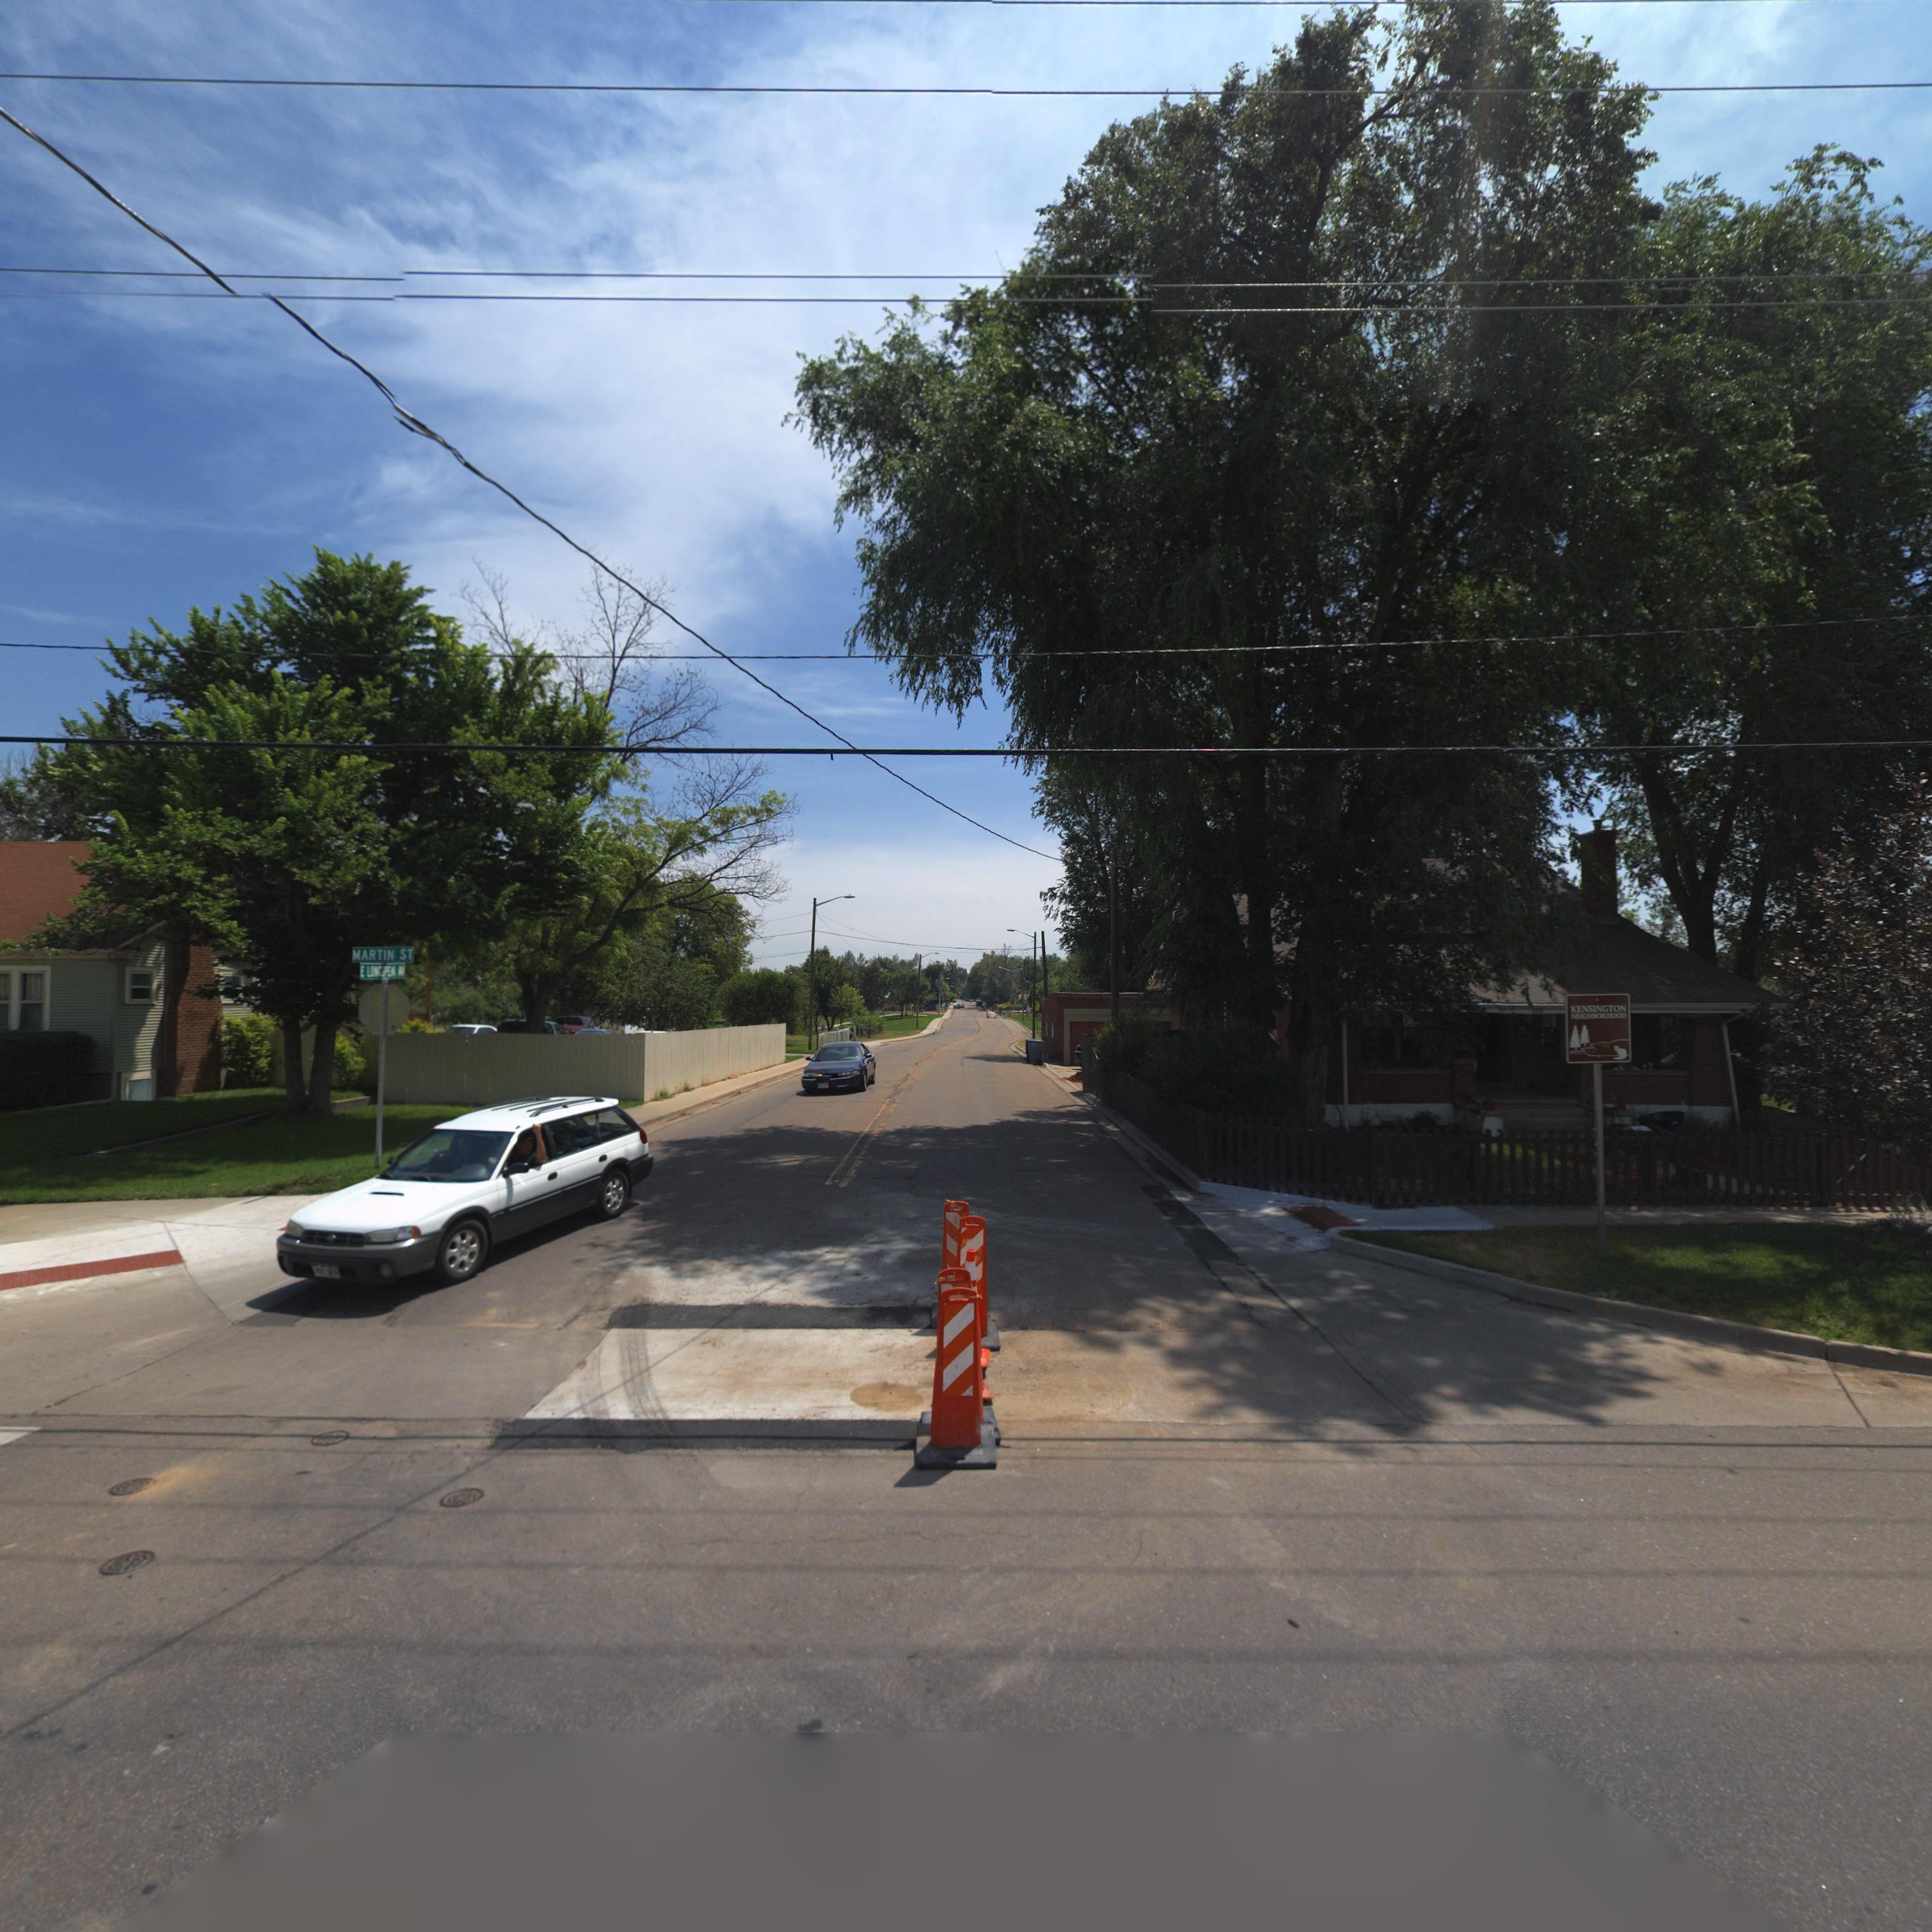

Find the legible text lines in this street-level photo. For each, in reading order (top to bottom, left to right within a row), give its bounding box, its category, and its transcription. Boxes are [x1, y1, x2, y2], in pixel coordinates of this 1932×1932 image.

[352, 948, 414, 961] StreetName: MARTIN ST
[360, 965, 405, 977] StreetName: E LONGSPEAK A*